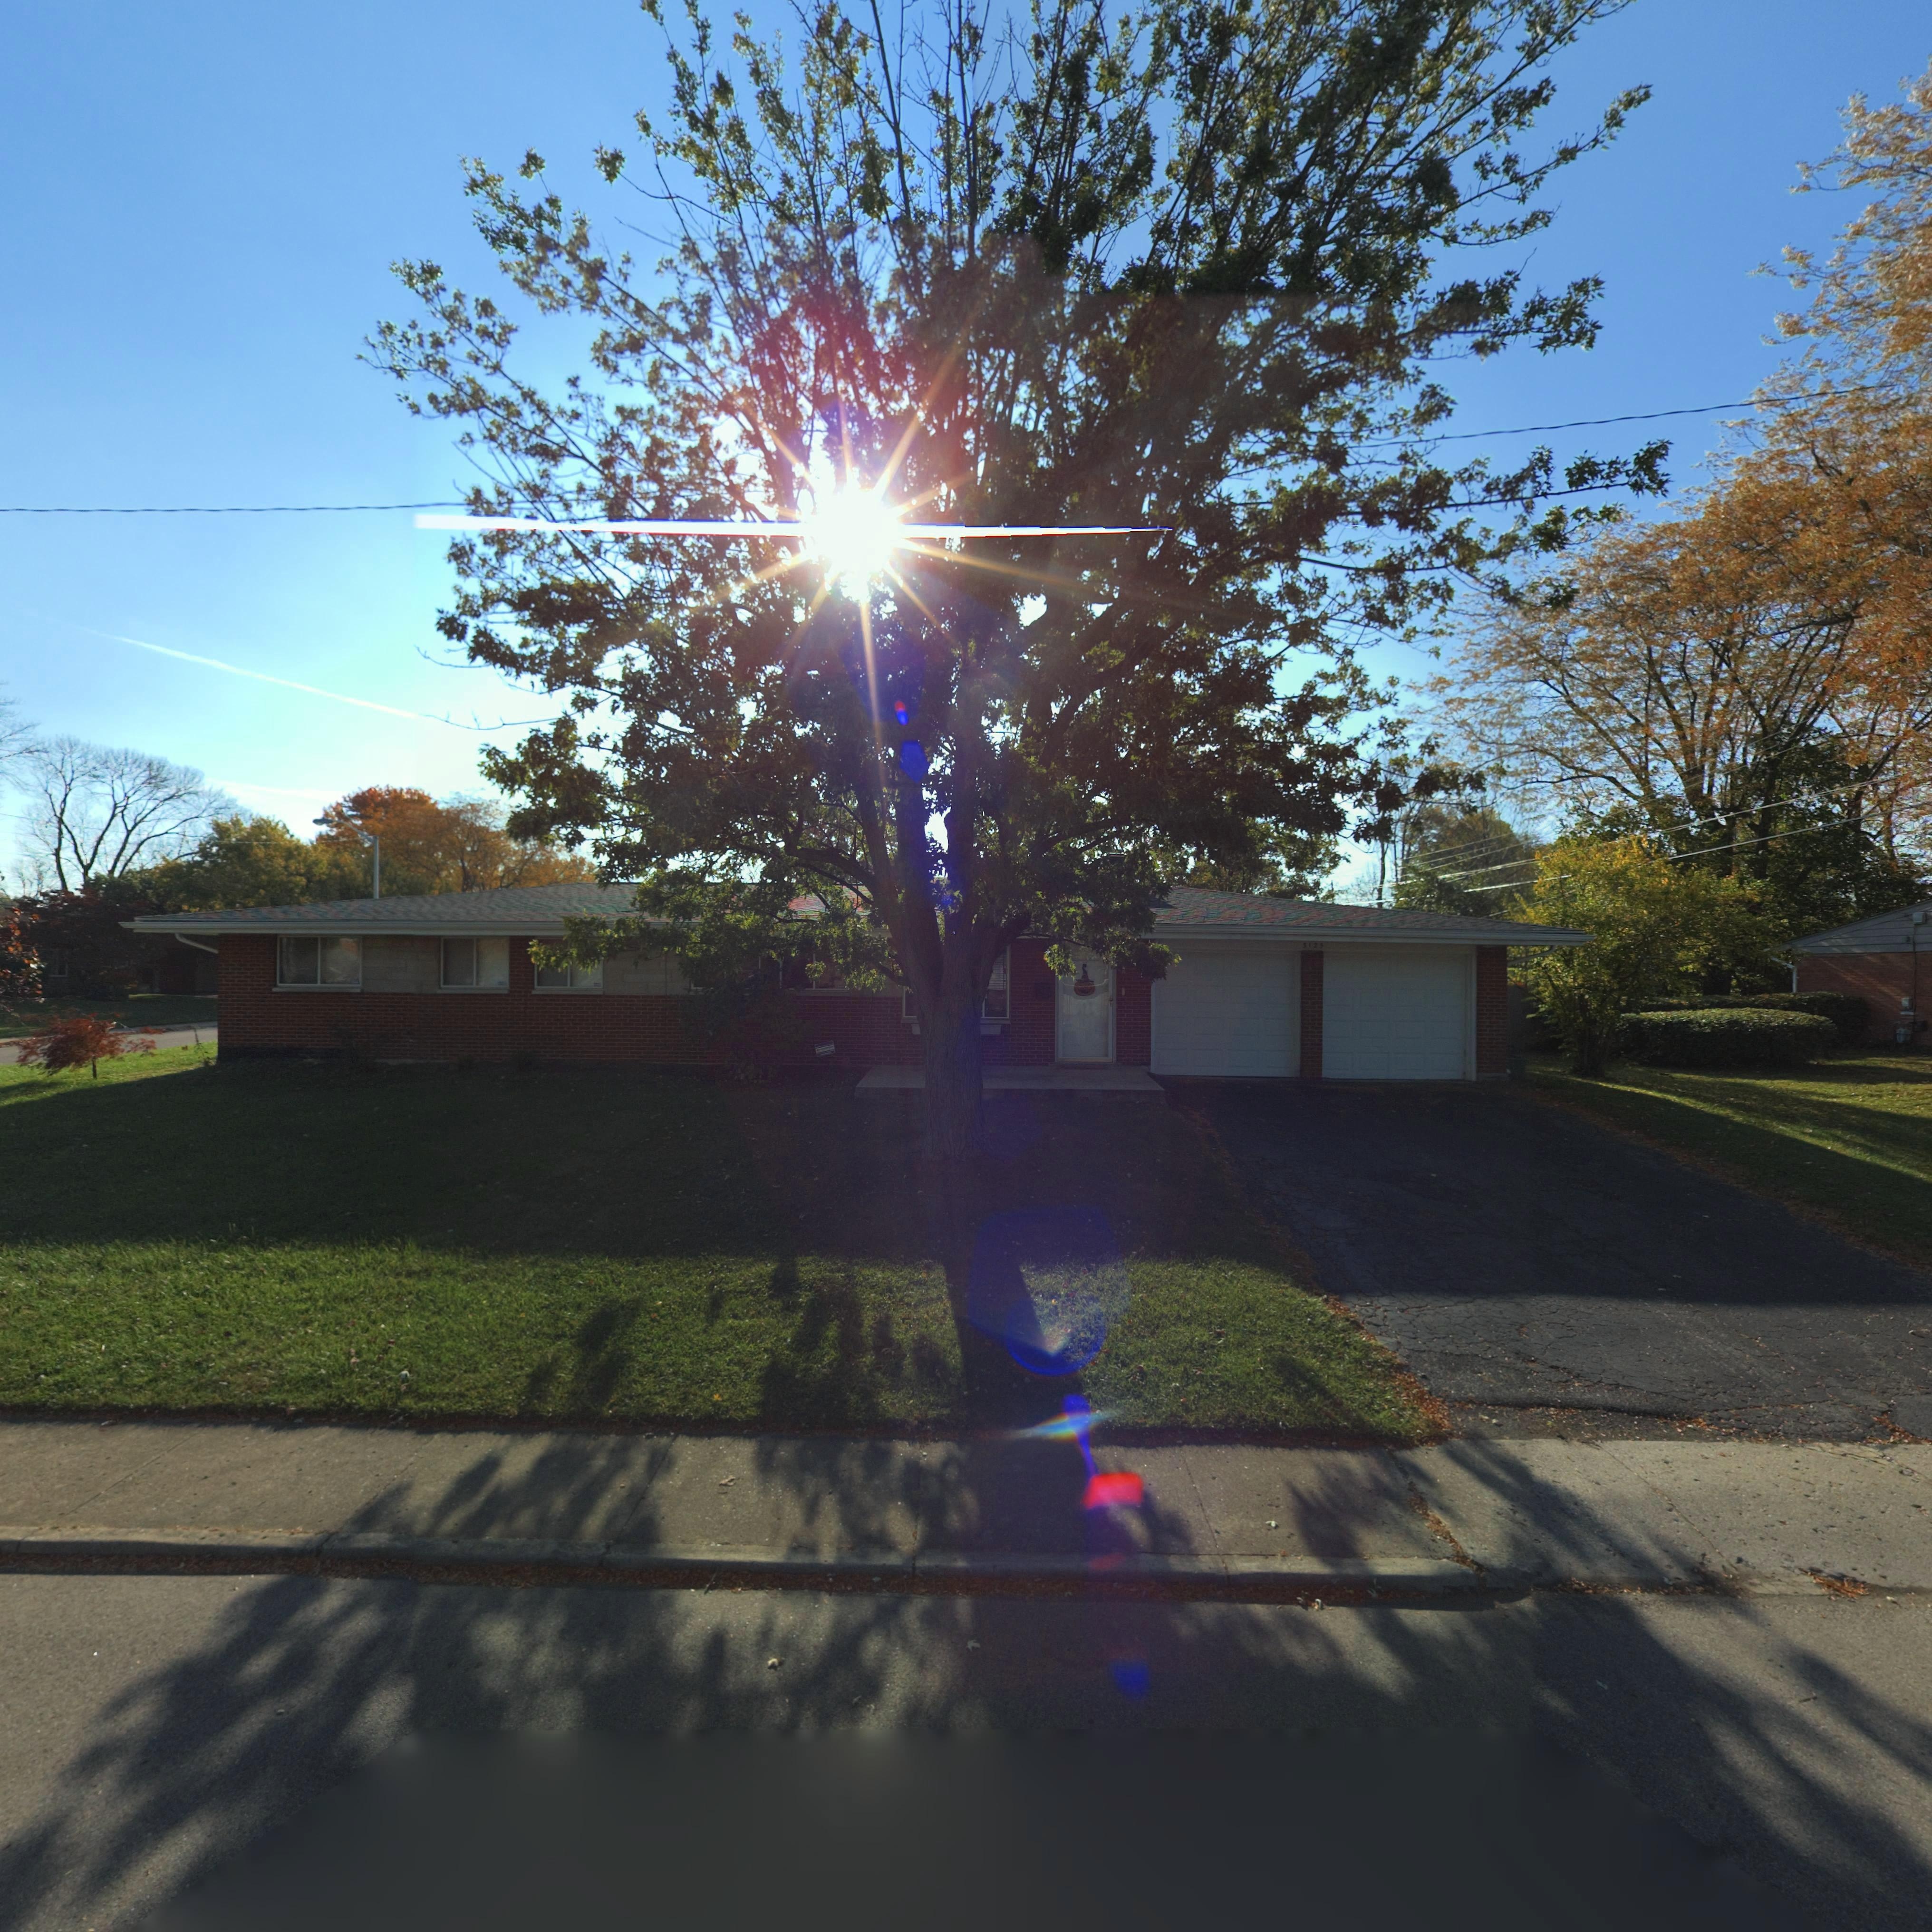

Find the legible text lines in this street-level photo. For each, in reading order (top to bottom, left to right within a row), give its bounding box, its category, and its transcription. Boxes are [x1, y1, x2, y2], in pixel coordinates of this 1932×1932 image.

[1301, 942, 1323, 948] StreetNumber: 3123